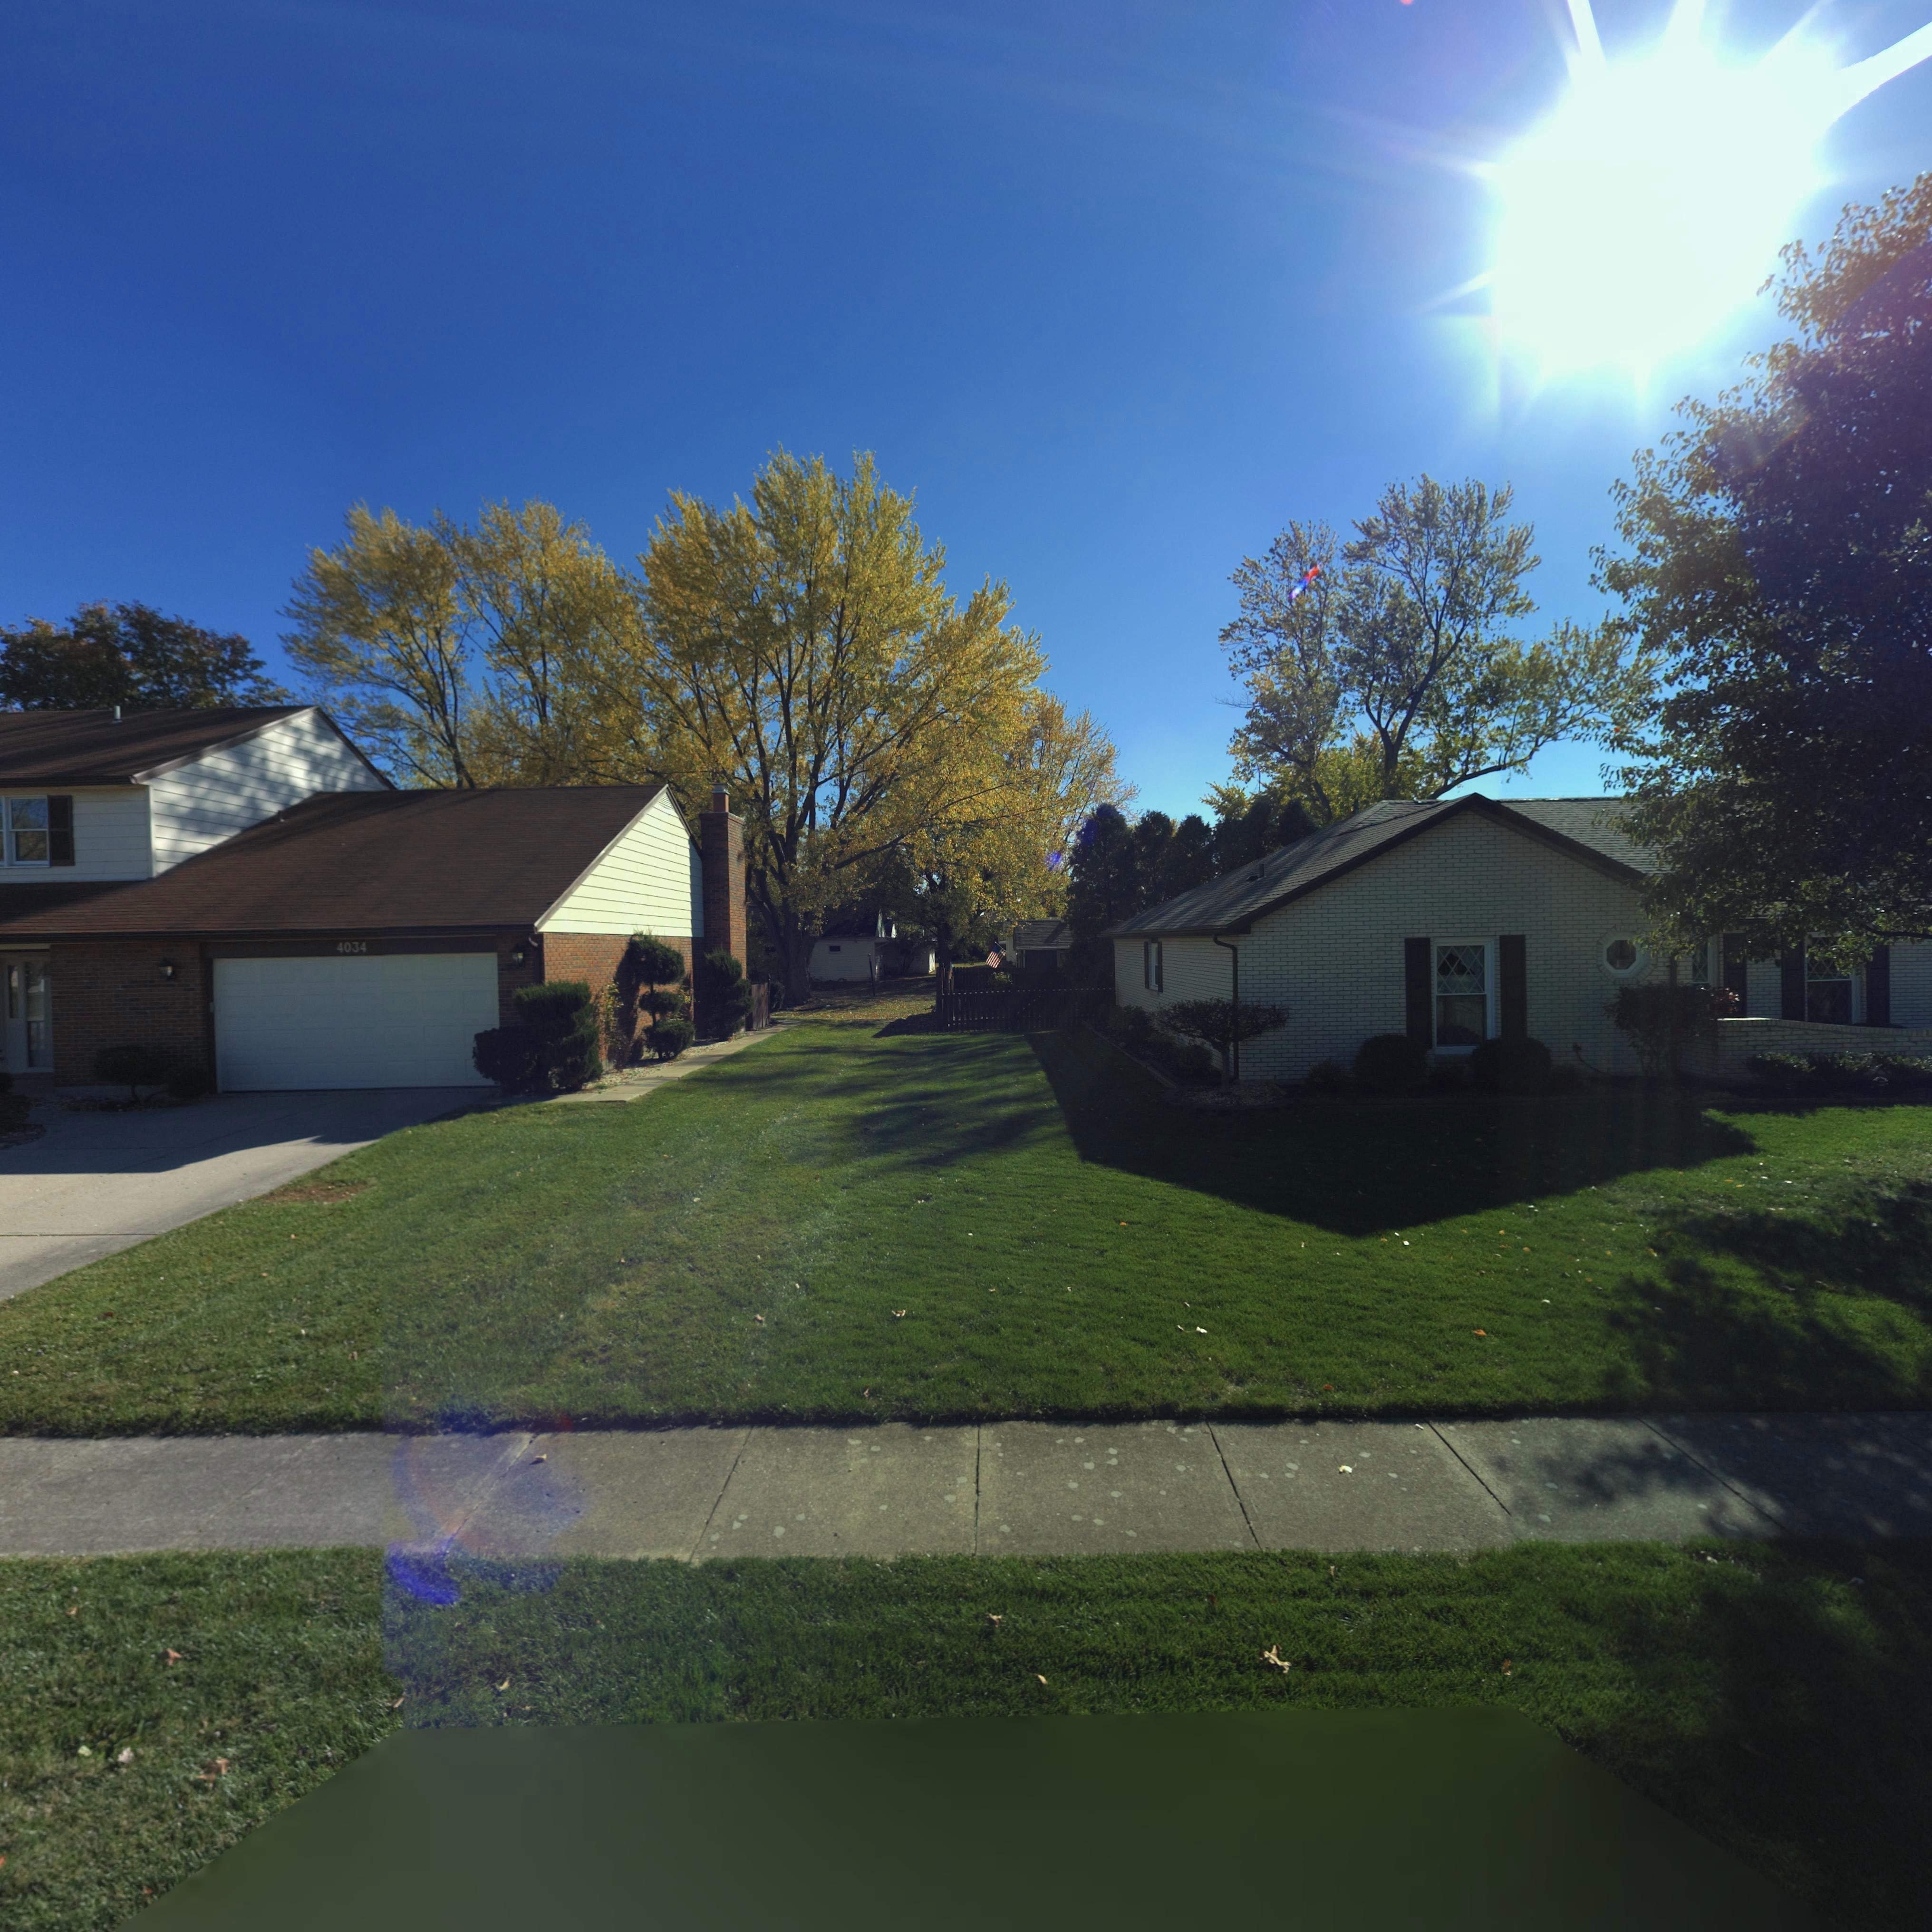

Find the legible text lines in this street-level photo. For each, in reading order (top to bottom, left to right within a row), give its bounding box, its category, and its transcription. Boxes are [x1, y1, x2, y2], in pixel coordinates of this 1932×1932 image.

[335, 941, 367, 954] StreetNumber: 4034